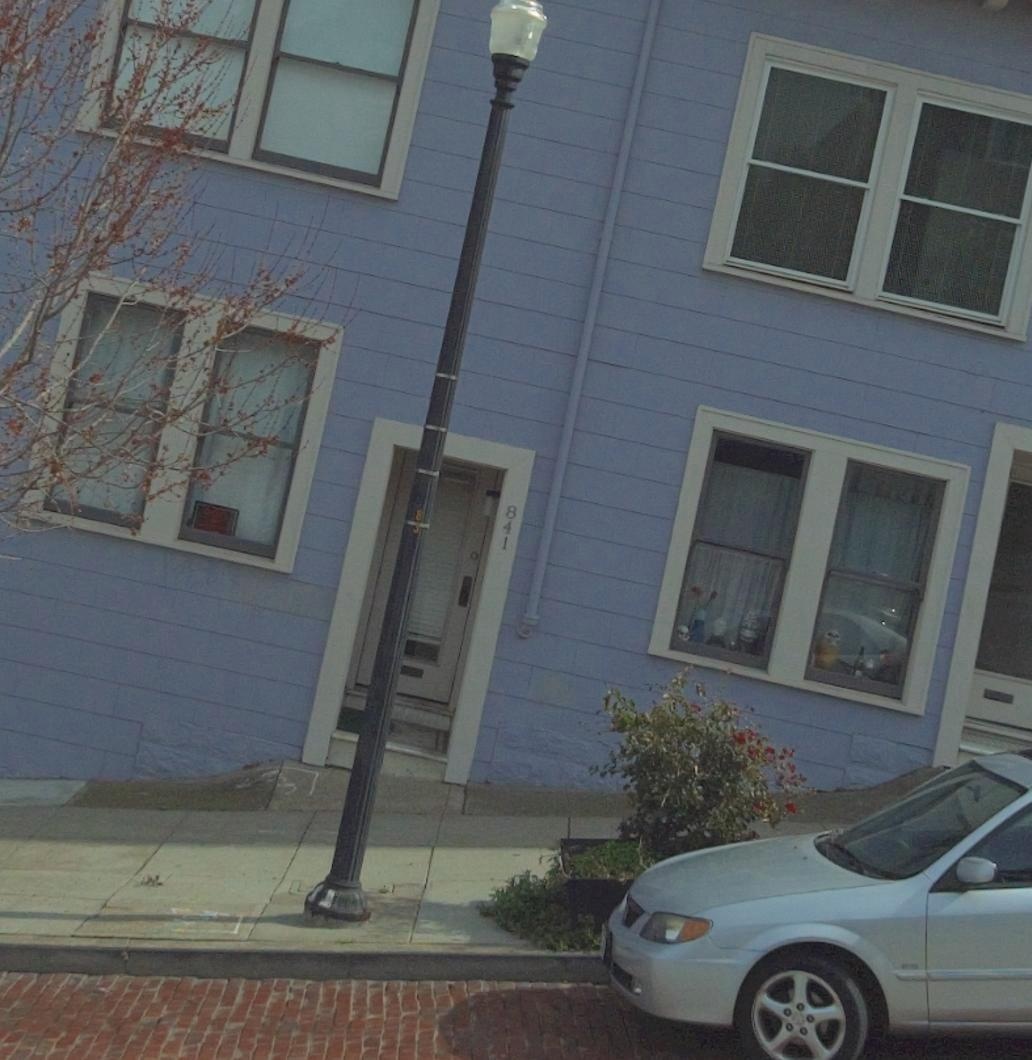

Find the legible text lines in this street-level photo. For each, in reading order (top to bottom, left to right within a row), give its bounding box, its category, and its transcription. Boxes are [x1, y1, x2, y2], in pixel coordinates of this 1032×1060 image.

[497, 502, 521, 553] StreetNumber: 841